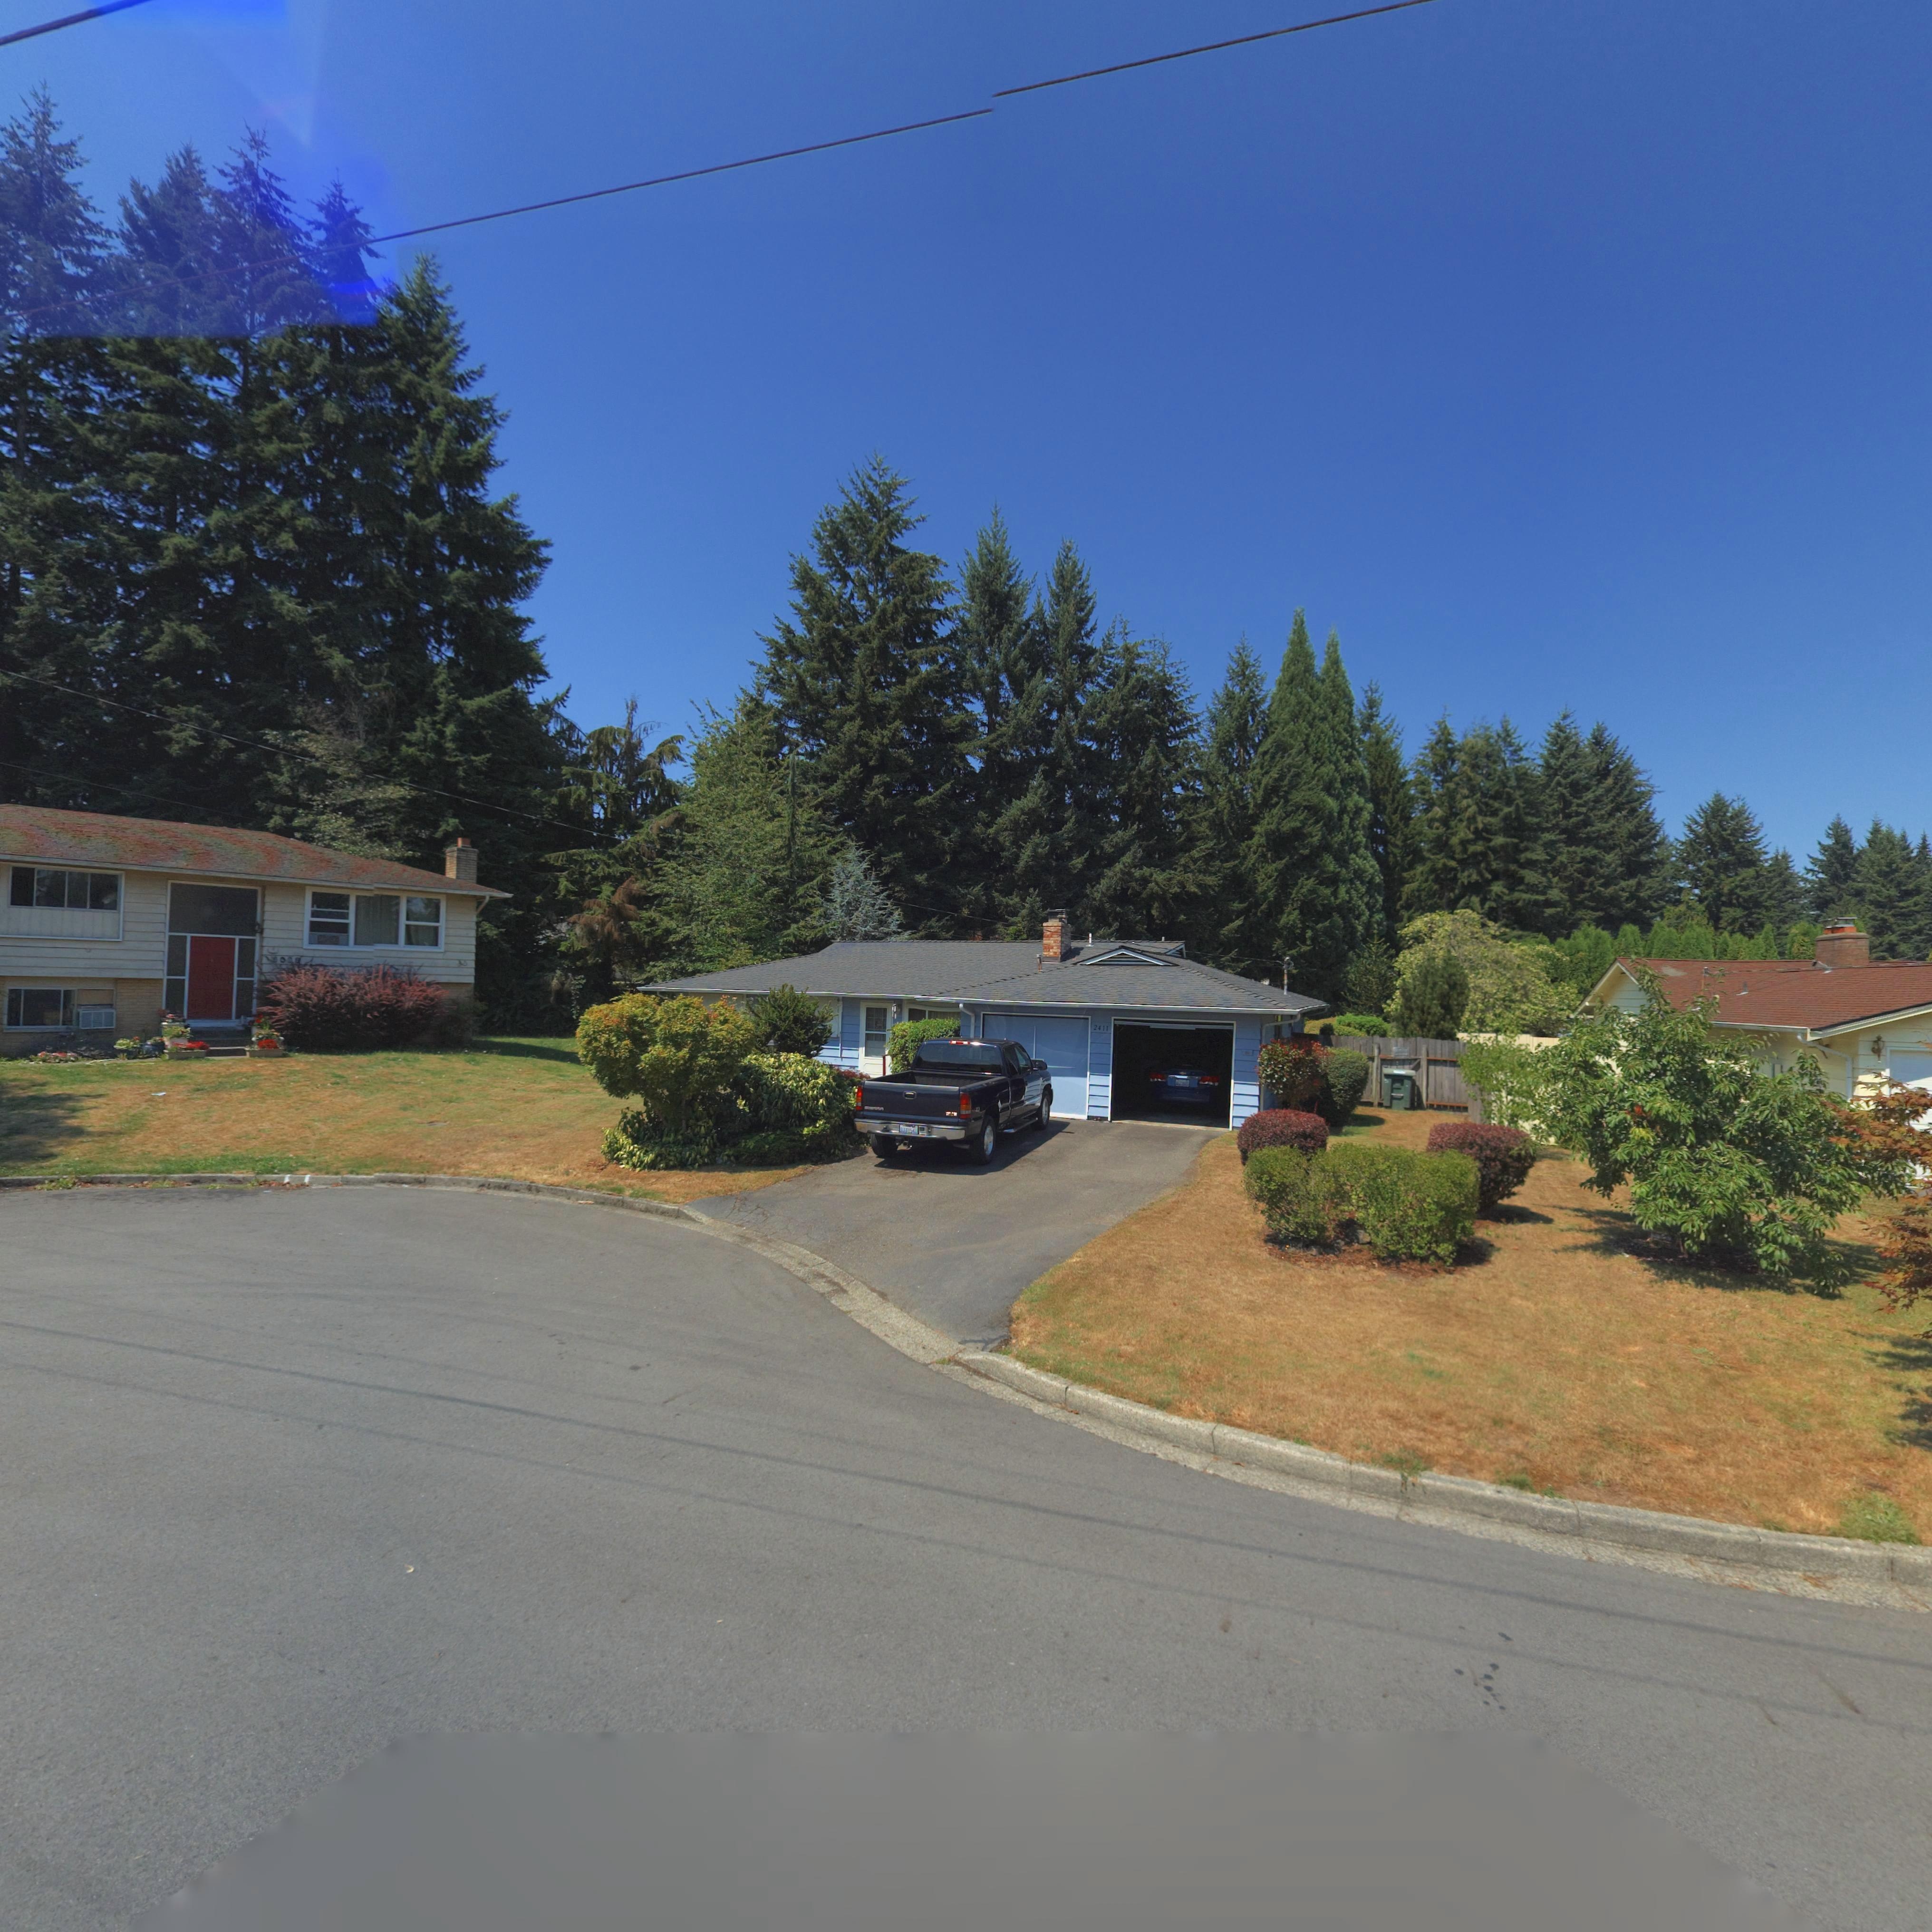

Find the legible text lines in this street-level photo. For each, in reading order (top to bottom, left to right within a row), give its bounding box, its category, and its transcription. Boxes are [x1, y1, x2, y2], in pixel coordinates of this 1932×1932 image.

[1093, 1024, 1109, 1032] StreetNumber: 2411